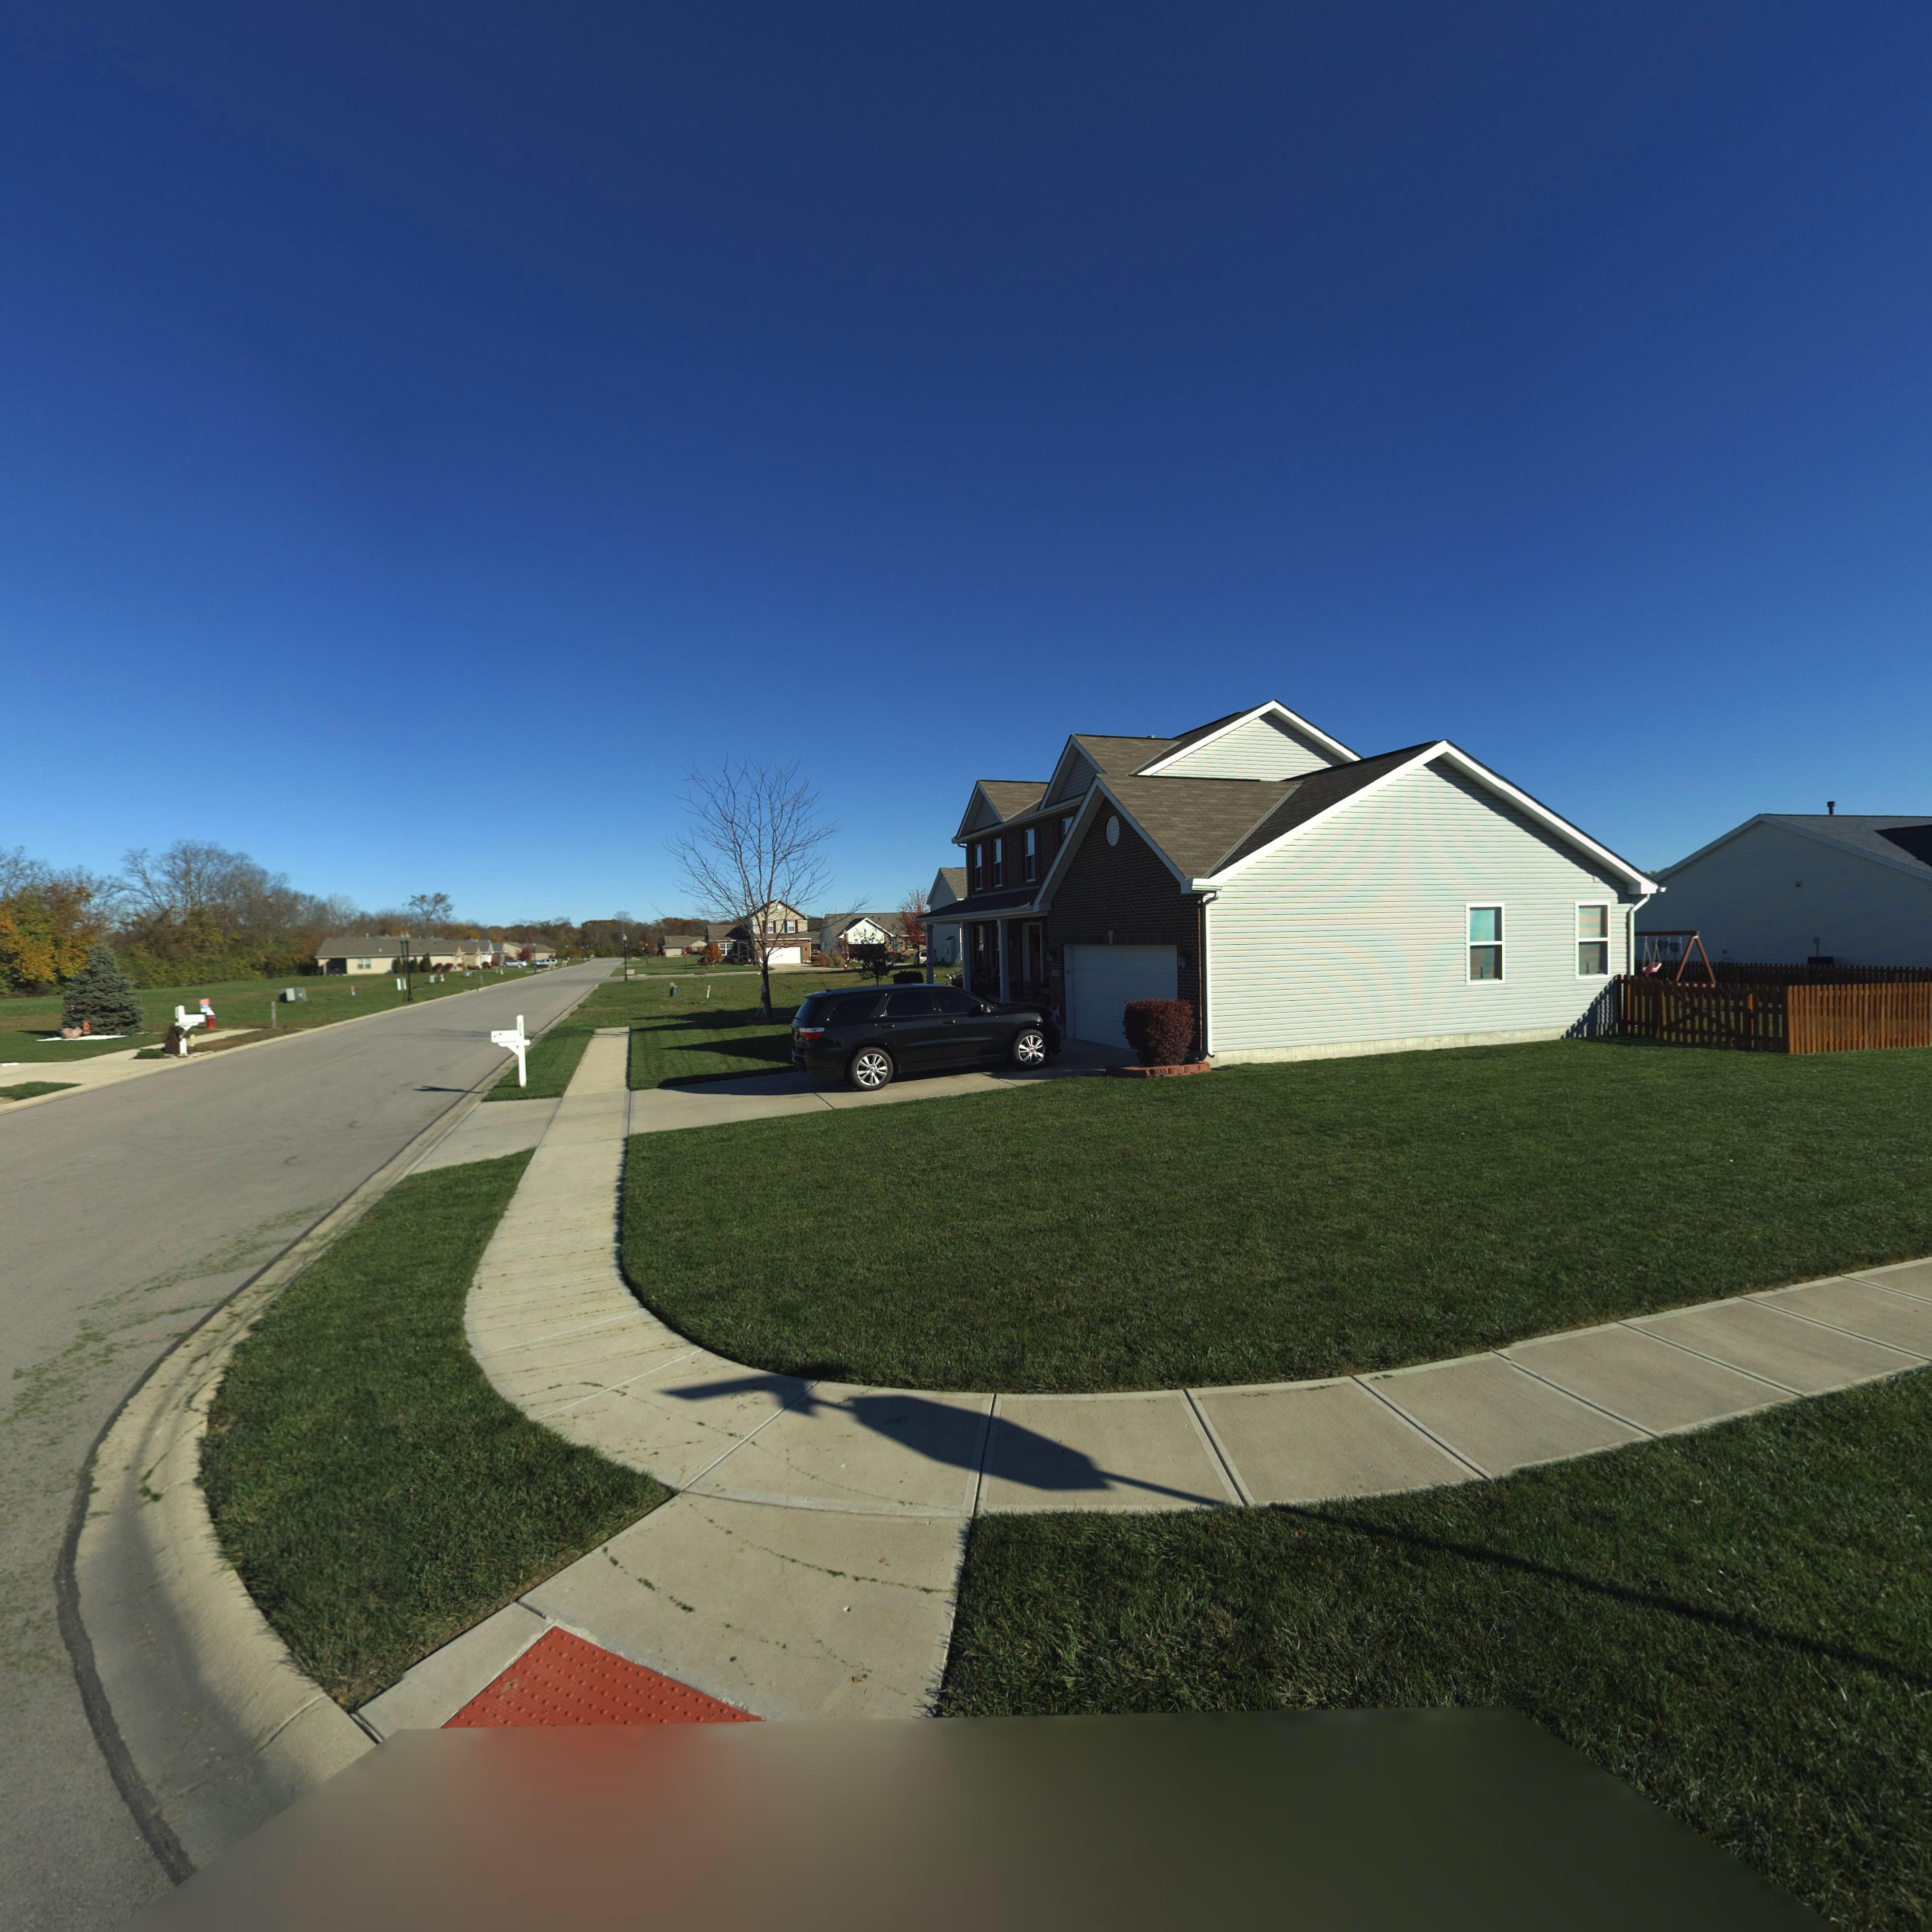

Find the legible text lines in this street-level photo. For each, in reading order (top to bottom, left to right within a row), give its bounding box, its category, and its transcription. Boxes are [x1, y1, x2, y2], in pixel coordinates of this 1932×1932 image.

[1053, 970, 1059, 976] StreetNumber: 204
[518, 1022, 522, 1036] StreetNumber: *0*